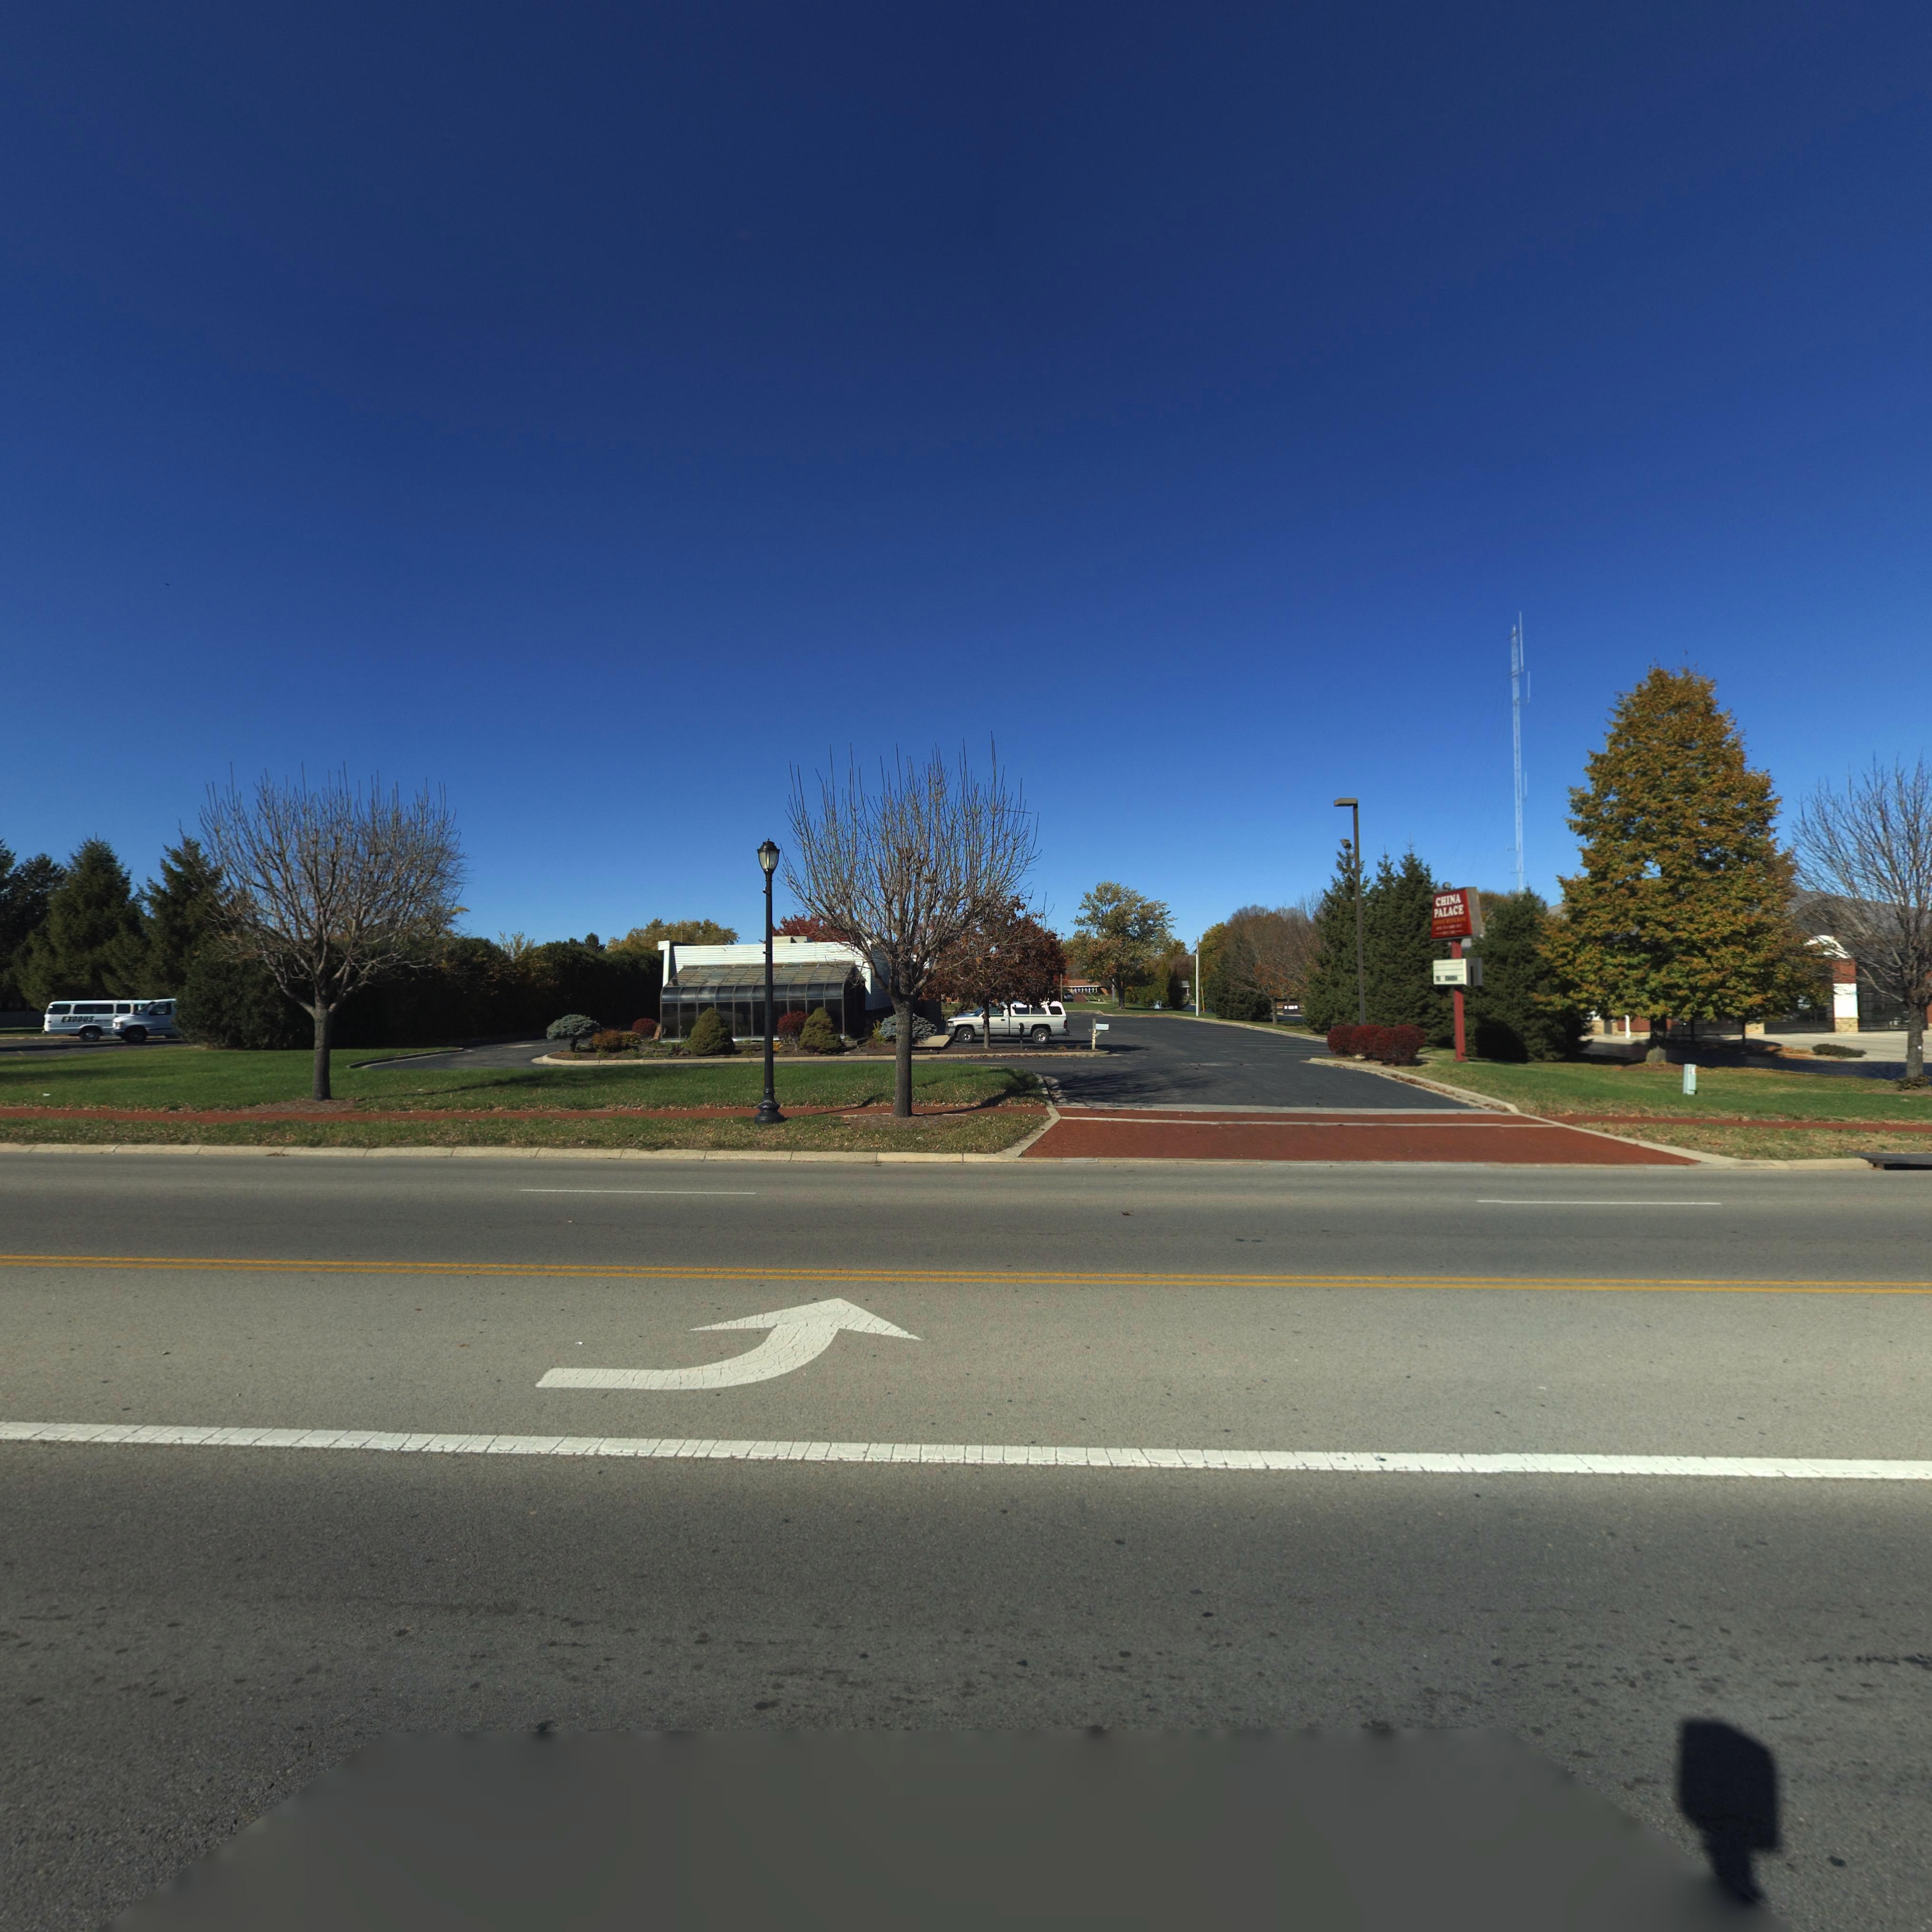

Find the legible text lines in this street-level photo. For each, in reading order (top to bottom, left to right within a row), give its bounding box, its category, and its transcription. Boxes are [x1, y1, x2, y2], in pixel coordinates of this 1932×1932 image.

[1435, 893, 1462, 908] BusinessName: CHINA
[1433, 904, 1465, 919] BusinessName: PALACE
[60, 1015, 95, 1023] BusinessName: EXODUS
[1091, 1028, 1097, 1045] StreetNumber: 375